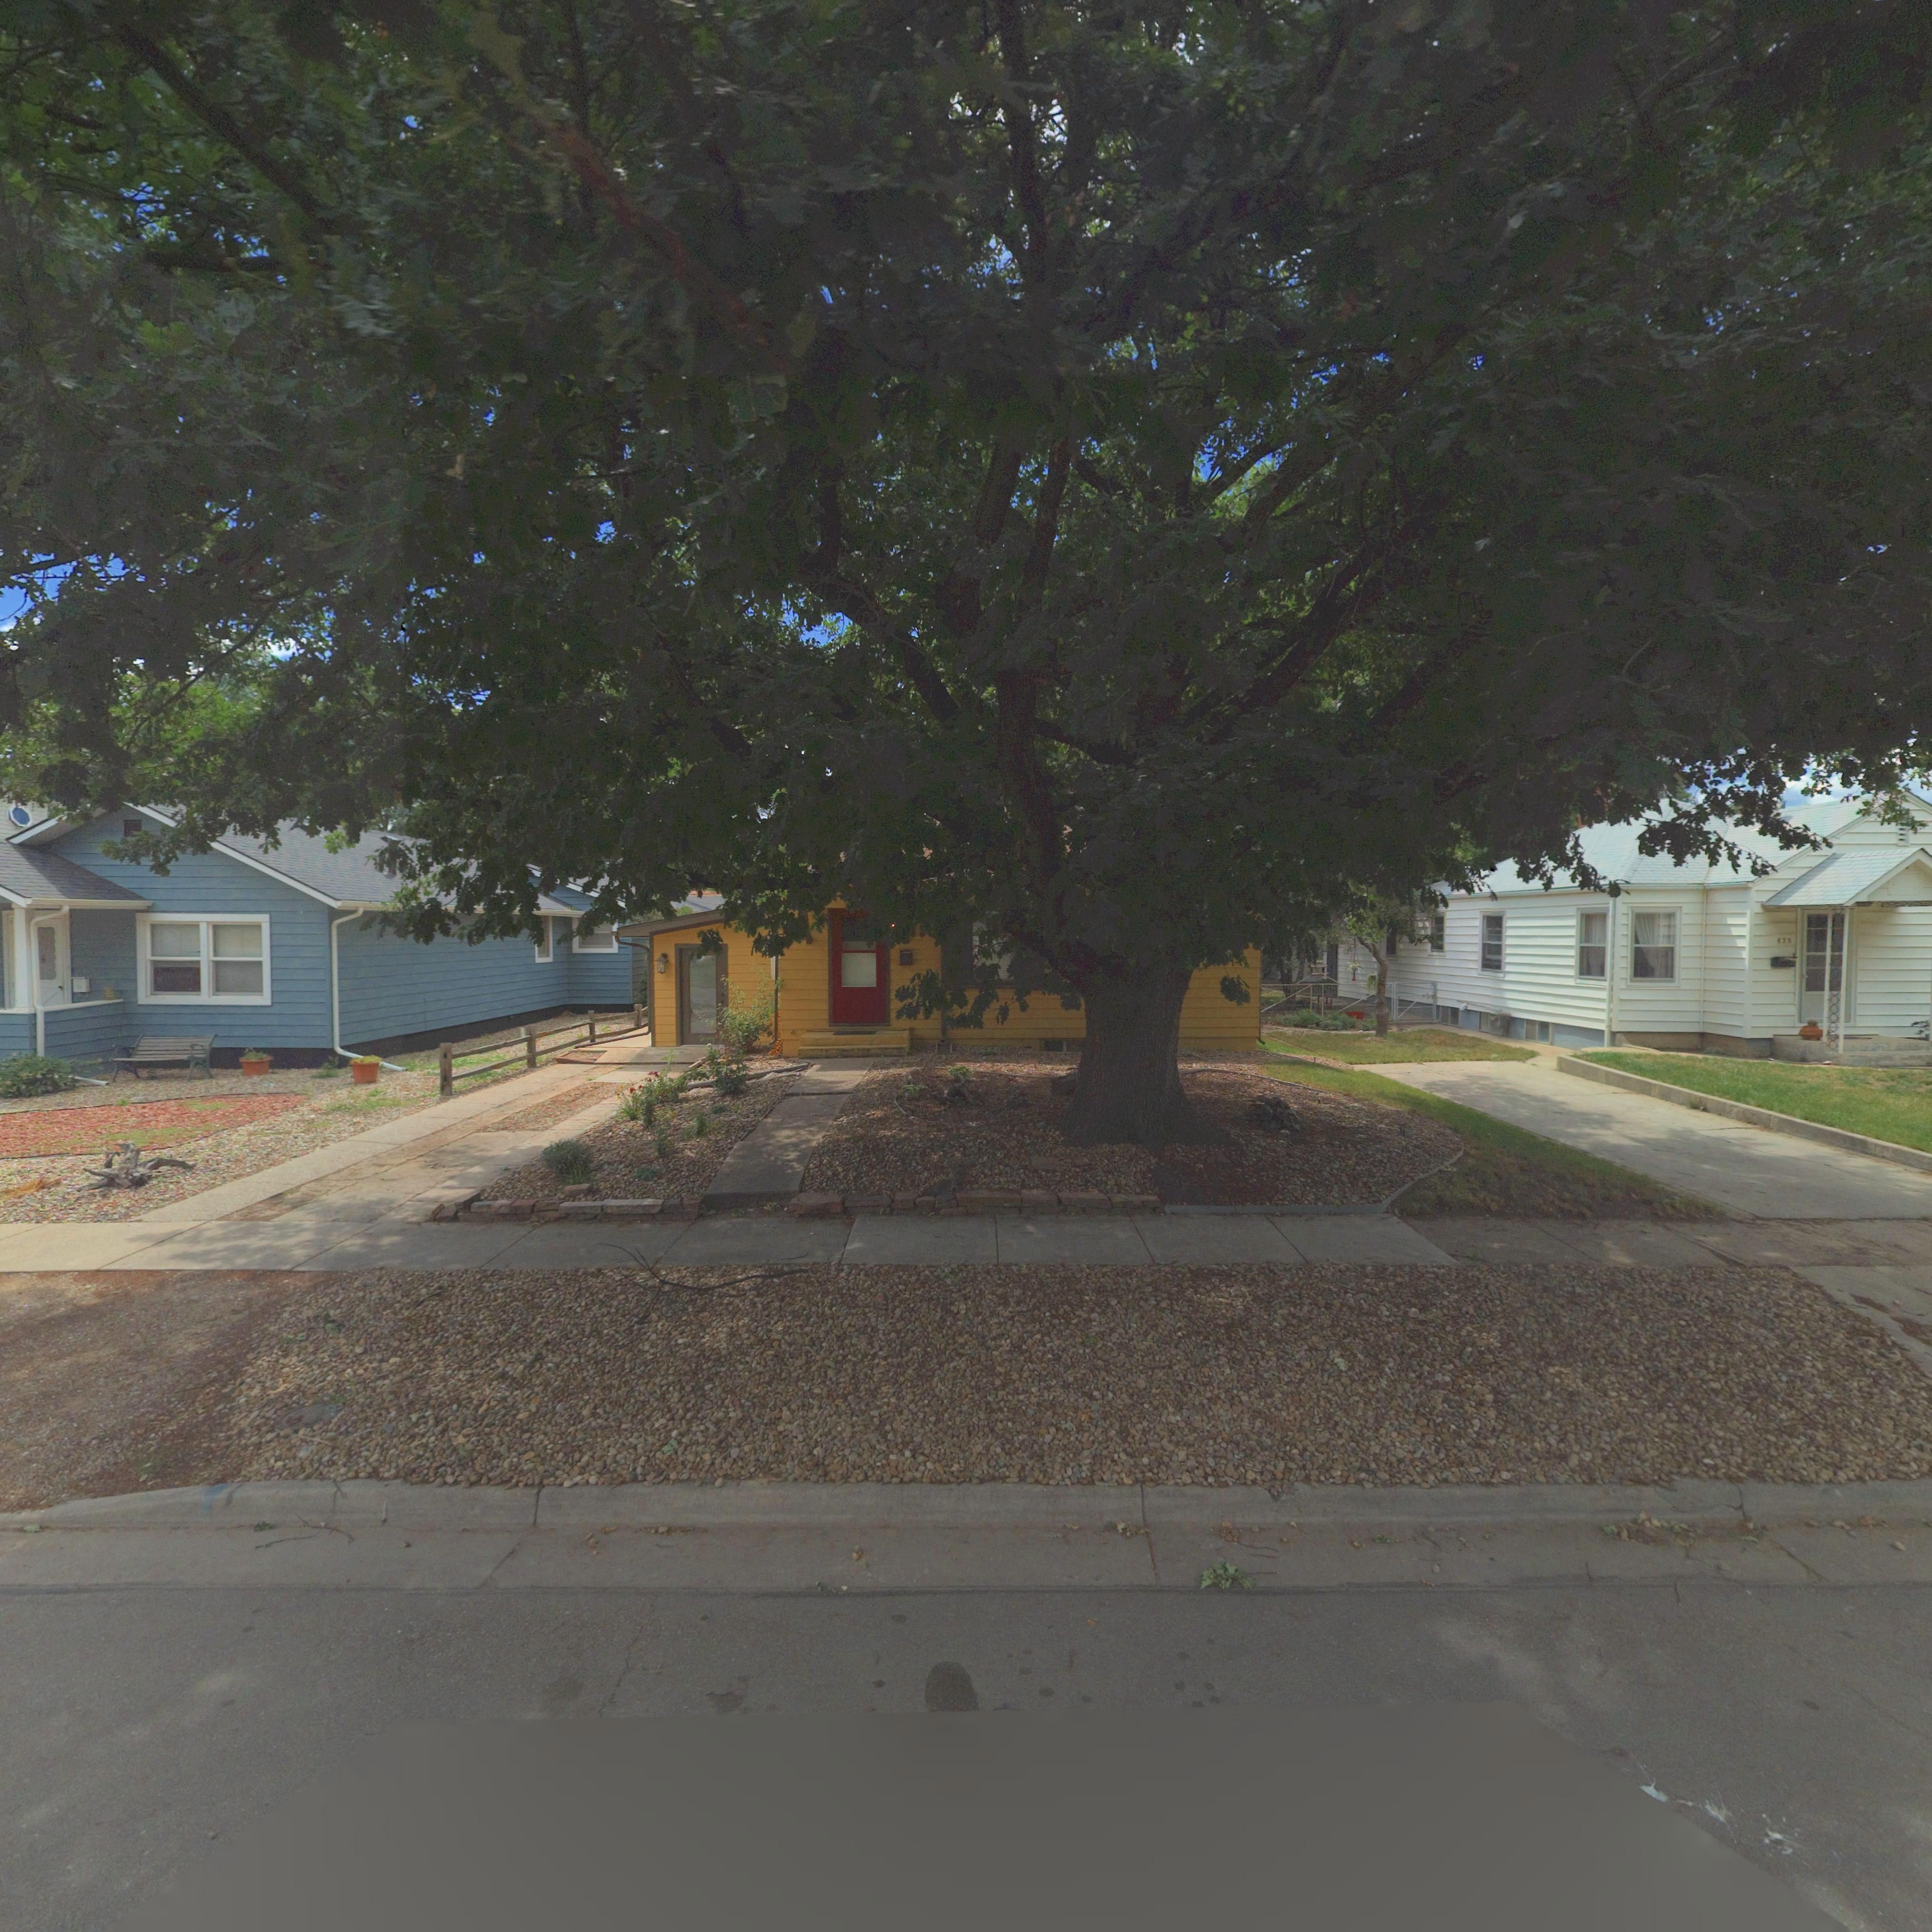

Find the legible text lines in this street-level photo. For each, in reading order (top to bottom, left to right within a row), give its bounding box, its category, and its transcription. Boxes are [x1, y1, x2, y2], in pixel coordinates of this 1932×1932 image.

[1777, 937, 1791, 944] StreetNumber: 835